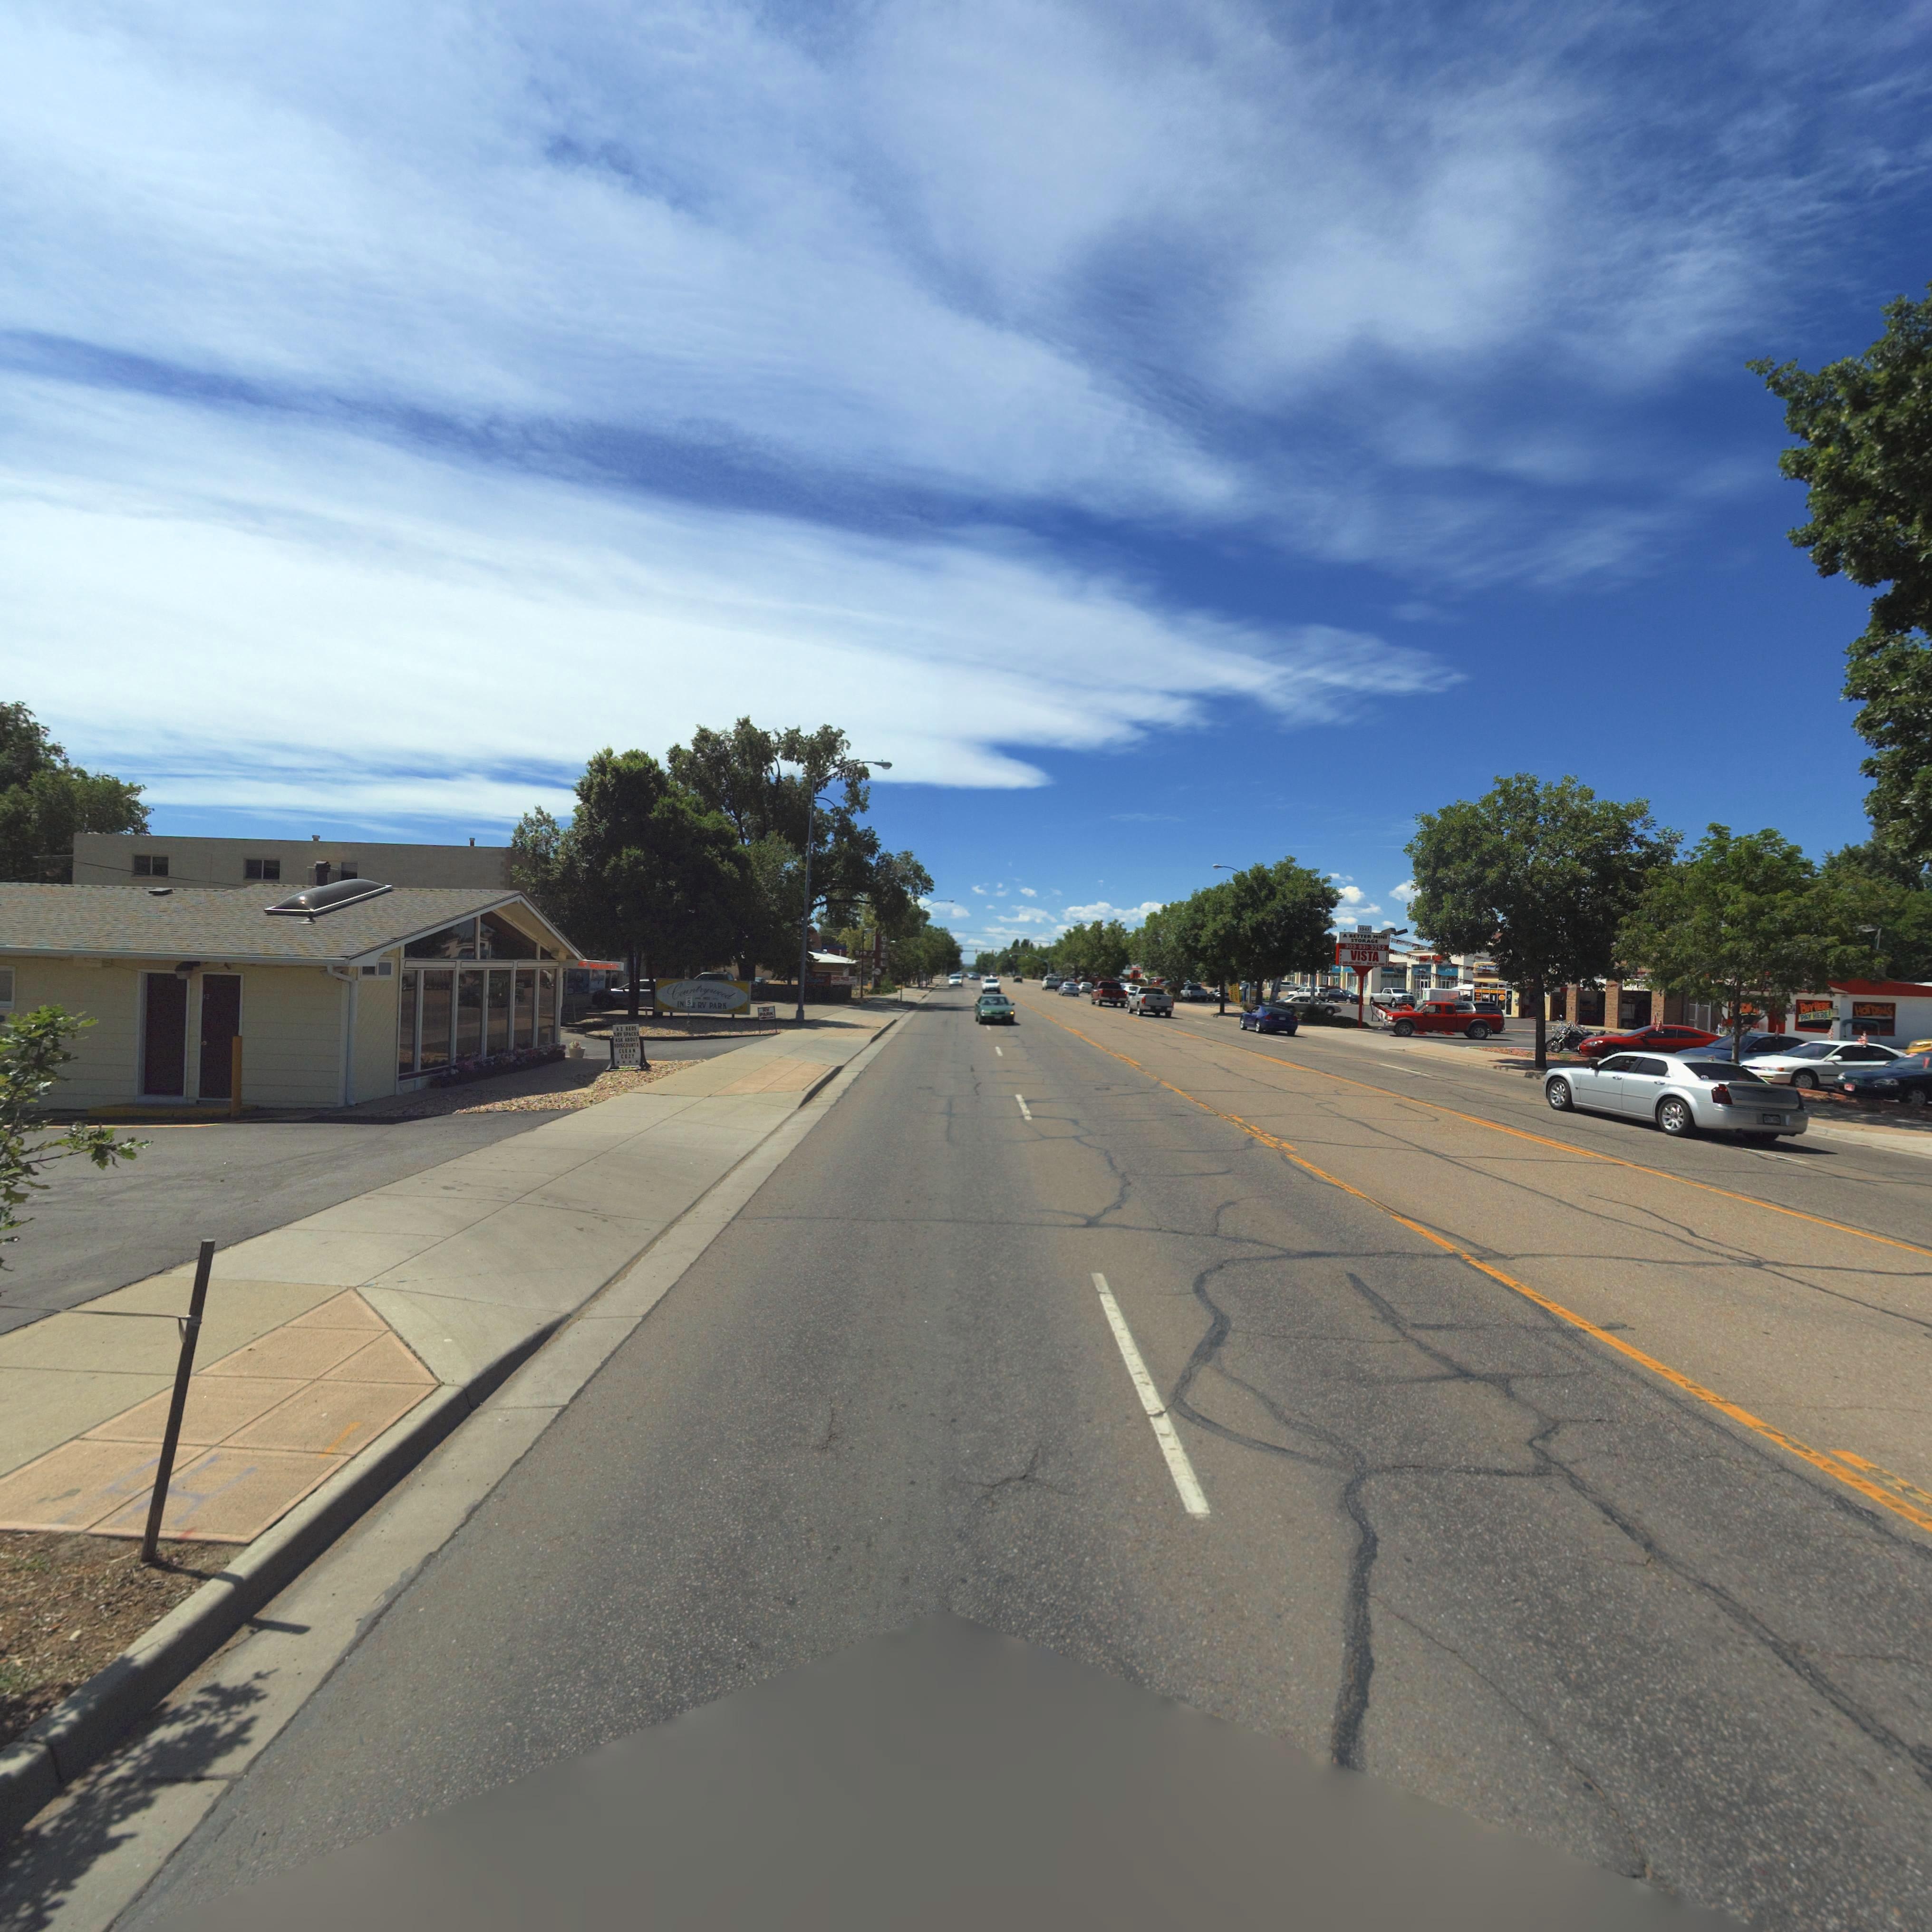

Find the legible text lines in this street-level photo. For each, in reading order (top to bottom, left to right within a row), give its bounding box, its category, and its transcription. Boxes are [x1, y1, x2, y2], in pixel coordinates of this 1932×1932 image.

[1359, 927, 1370, 931] StreetNumber: 1545
[1343, 933, 1387, 939] BusinessName: A BETTER MINI
[1350, 938, 1378, 944] BusinessName: STORAGE
[855, 950, 874, 956] BusinessName: B*R L
[1350, 950, 1379, 962] BusinessName: VISTA
[671, 982, 736, 1000] BusinessName: C***trywood
[676, 1001, 727, 1009] BusinessName: IN* * RV PARK